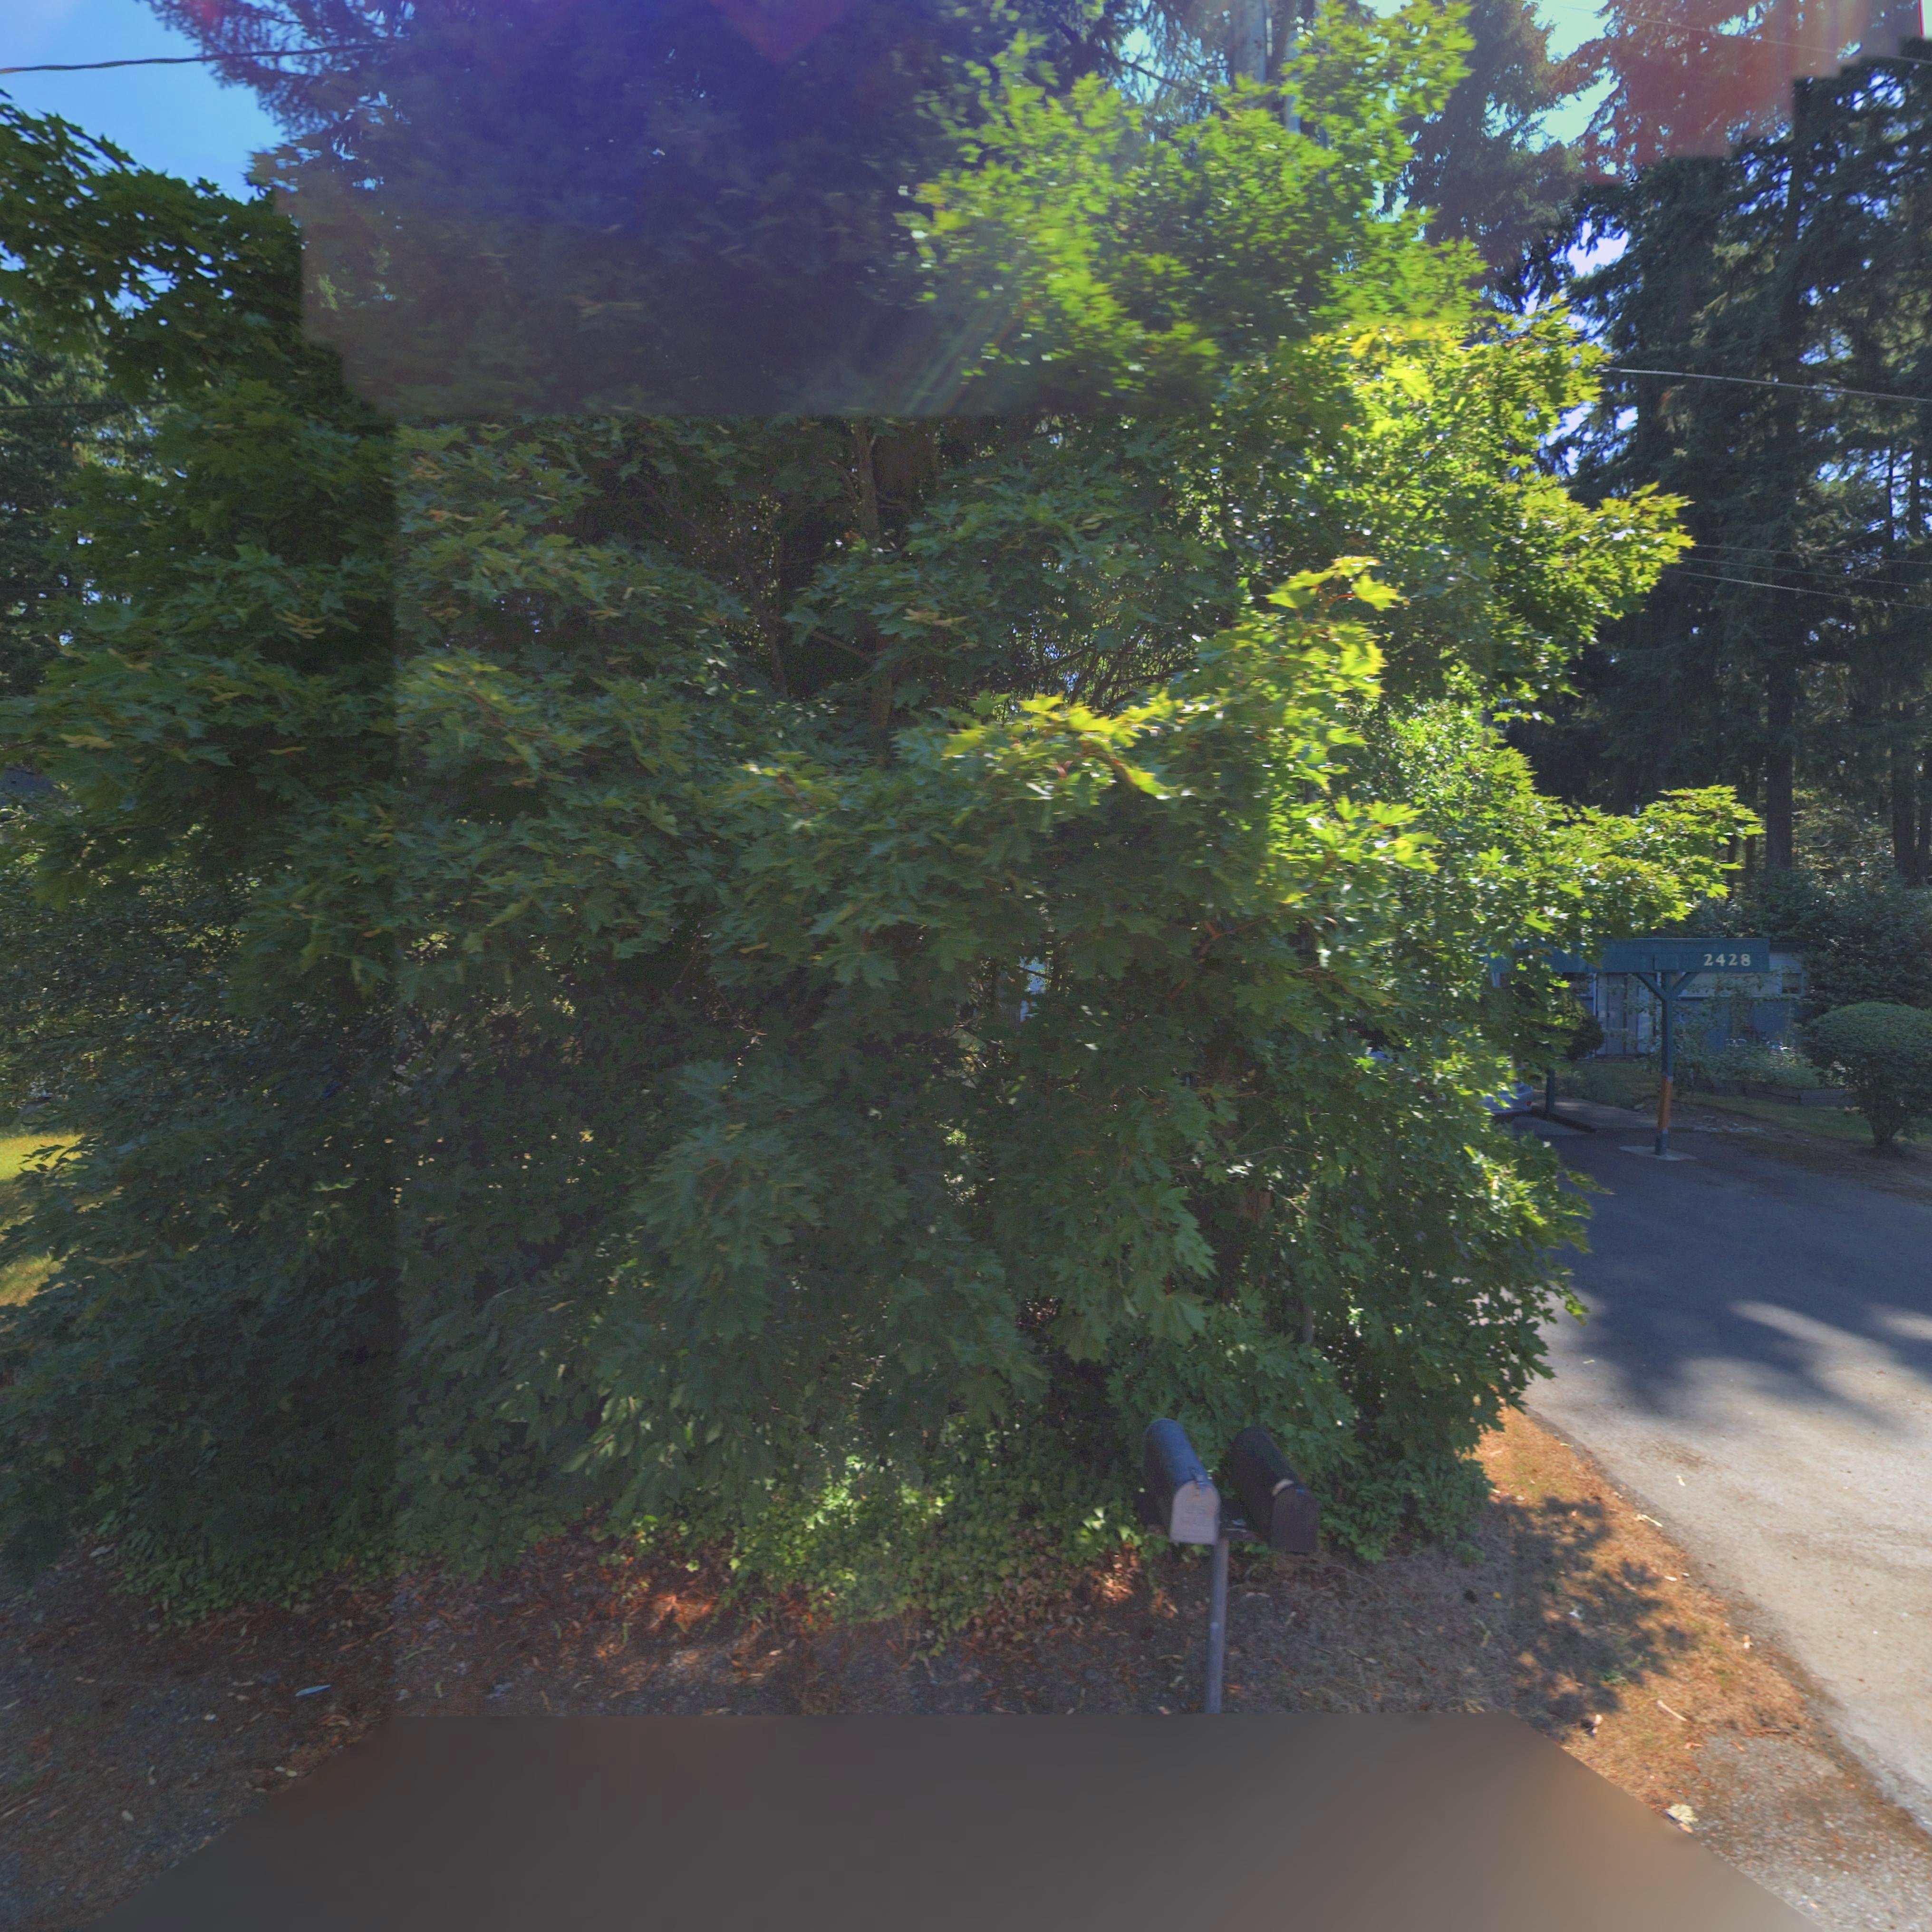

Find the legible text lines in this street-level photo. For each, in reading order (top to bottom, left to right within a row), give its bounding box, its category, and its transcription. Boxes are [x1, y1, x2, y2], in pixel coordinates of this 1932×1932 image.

[1703, 953, 1751, 966] StreetNumber: 2428